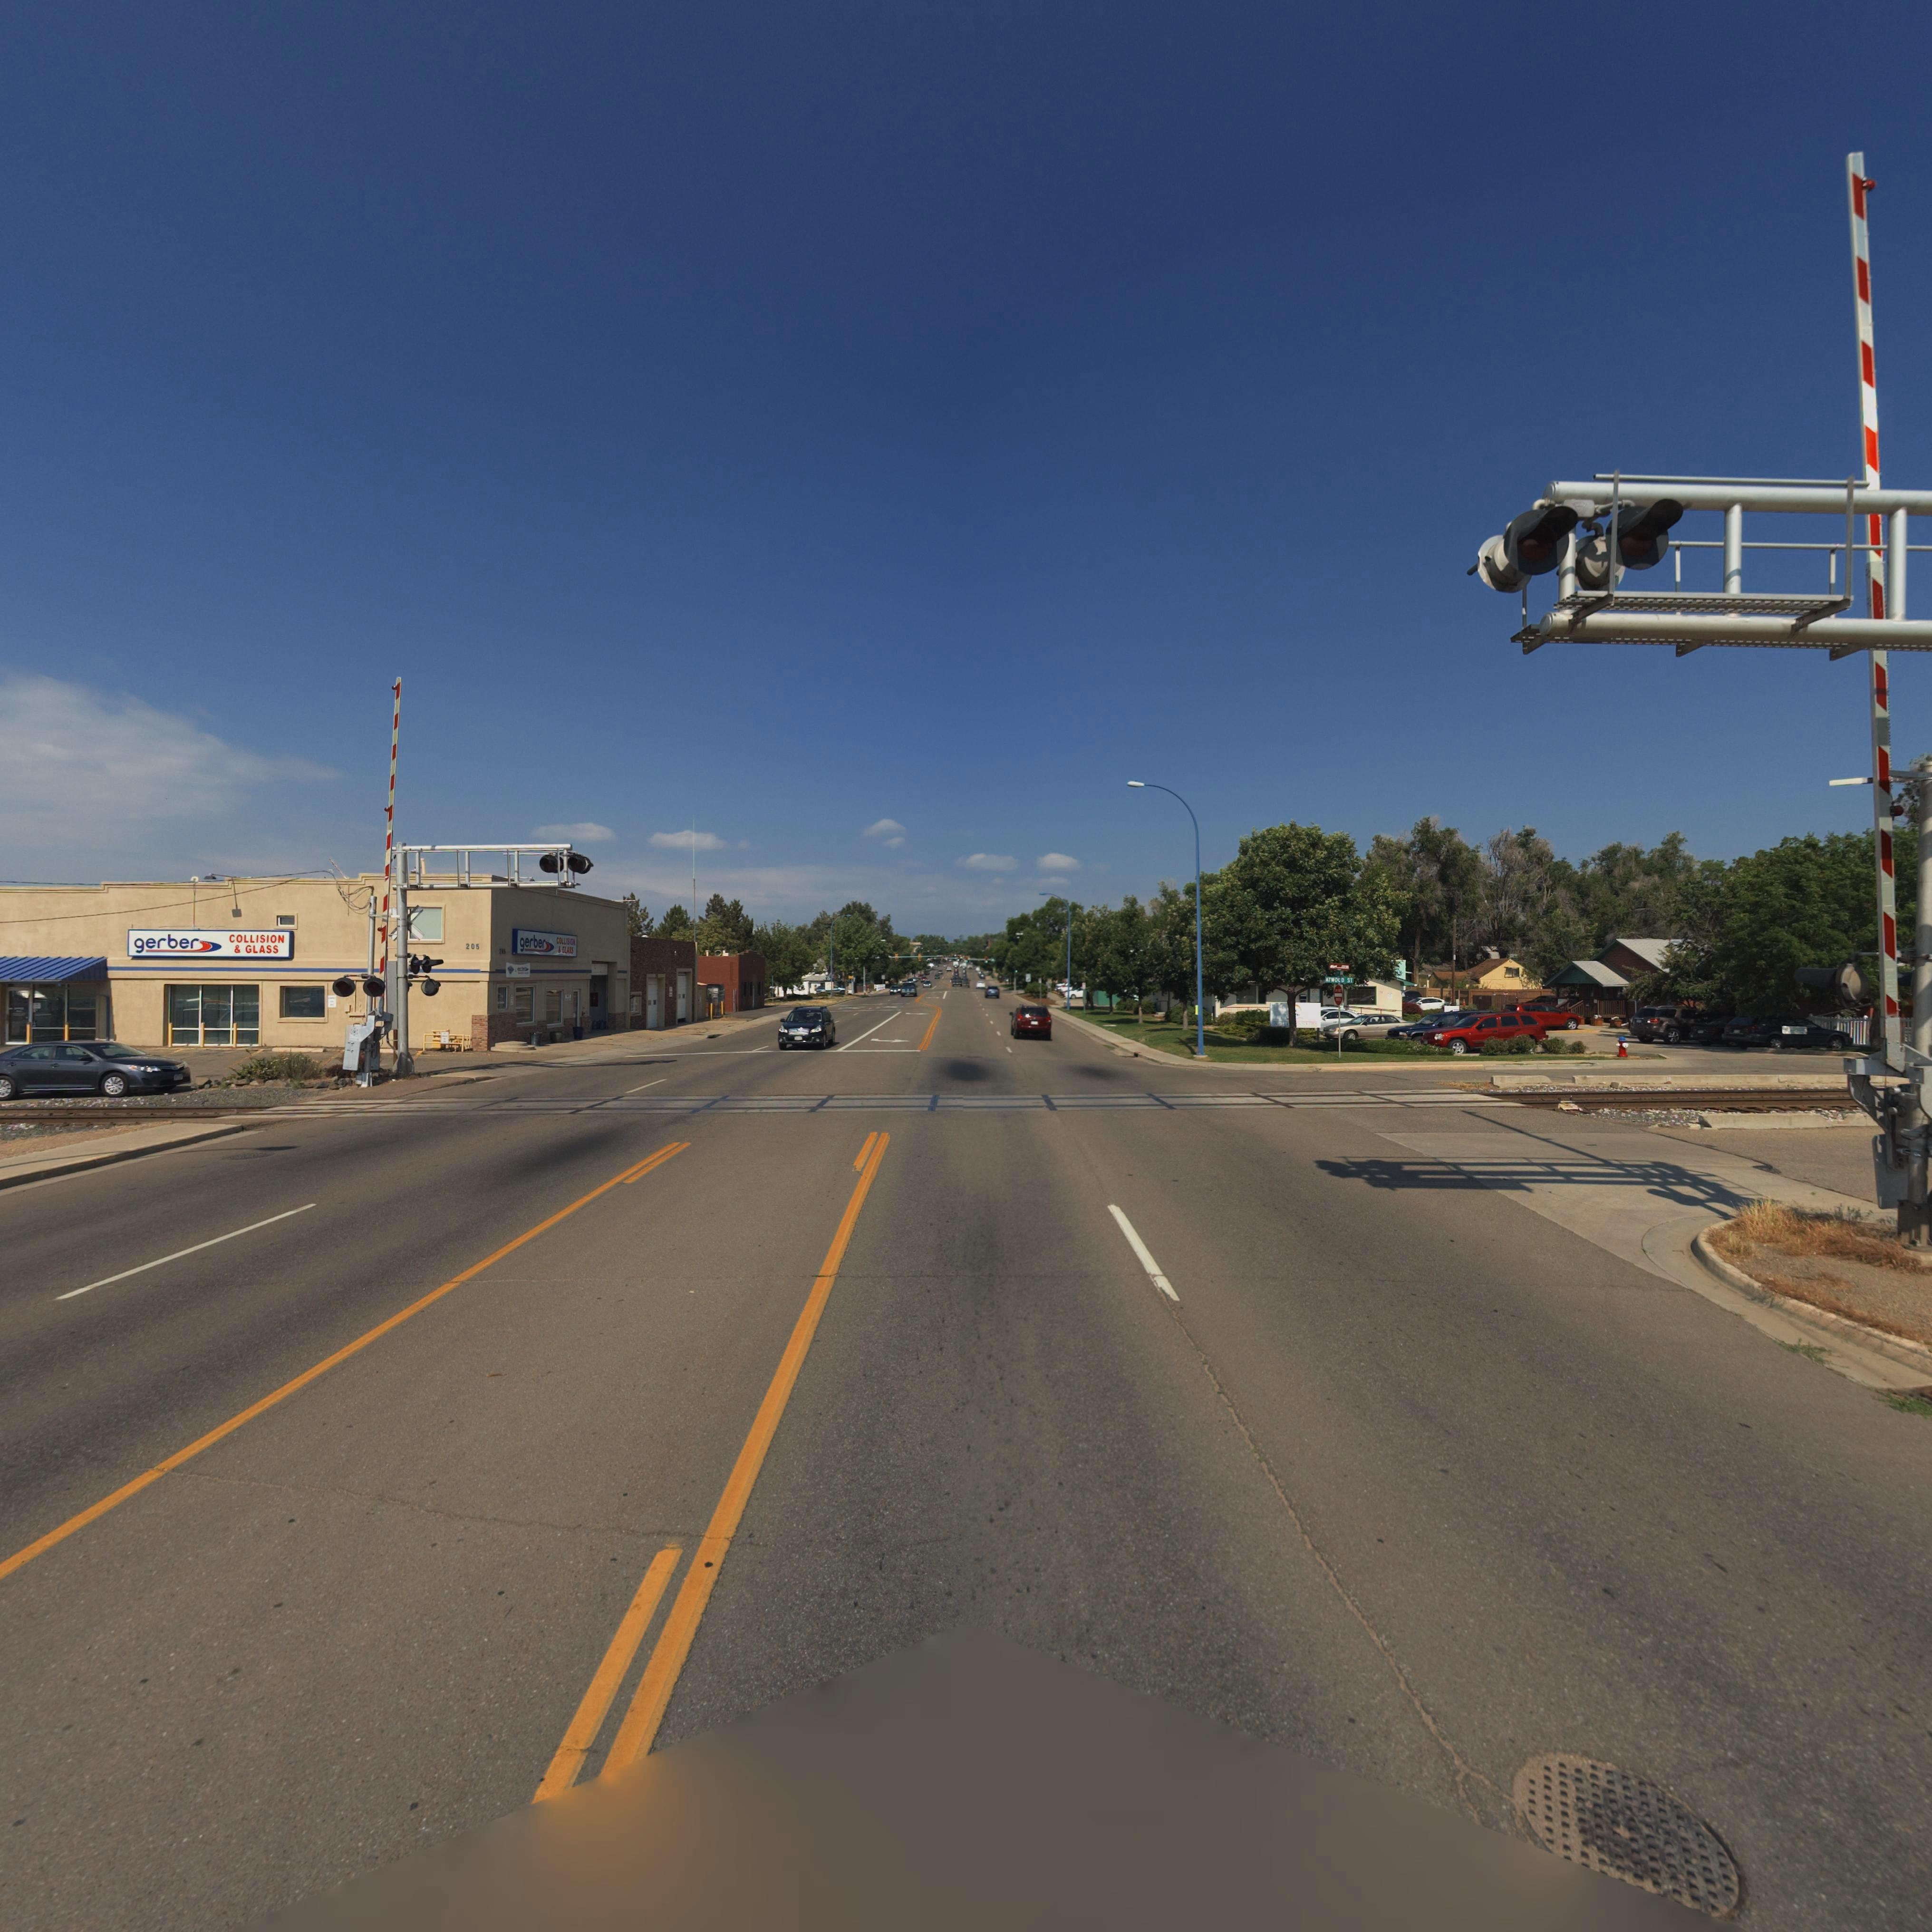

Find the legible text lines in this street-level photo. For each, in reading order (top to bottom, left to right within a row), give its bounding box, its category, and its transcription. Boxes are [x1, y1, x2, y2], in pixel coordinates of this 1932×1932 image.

[133, 933, 200, 954] BusinessName: gerber
[233, 944, 279, 954] BusinessName: * GLASS
[228, 933, 285, 944] BusinessName: COLLISION
[465, 943, 479, 950] StreetNumber: 205
[519, 934, 546, 952] BusinessName: gerber
[555, 936, 575, 946] BusinessName: COLLISION
[558, 945, 574, 954] BusinessName: * GLASS
[1325, 977, 1352, 983] StreetName: ATWOOD ST